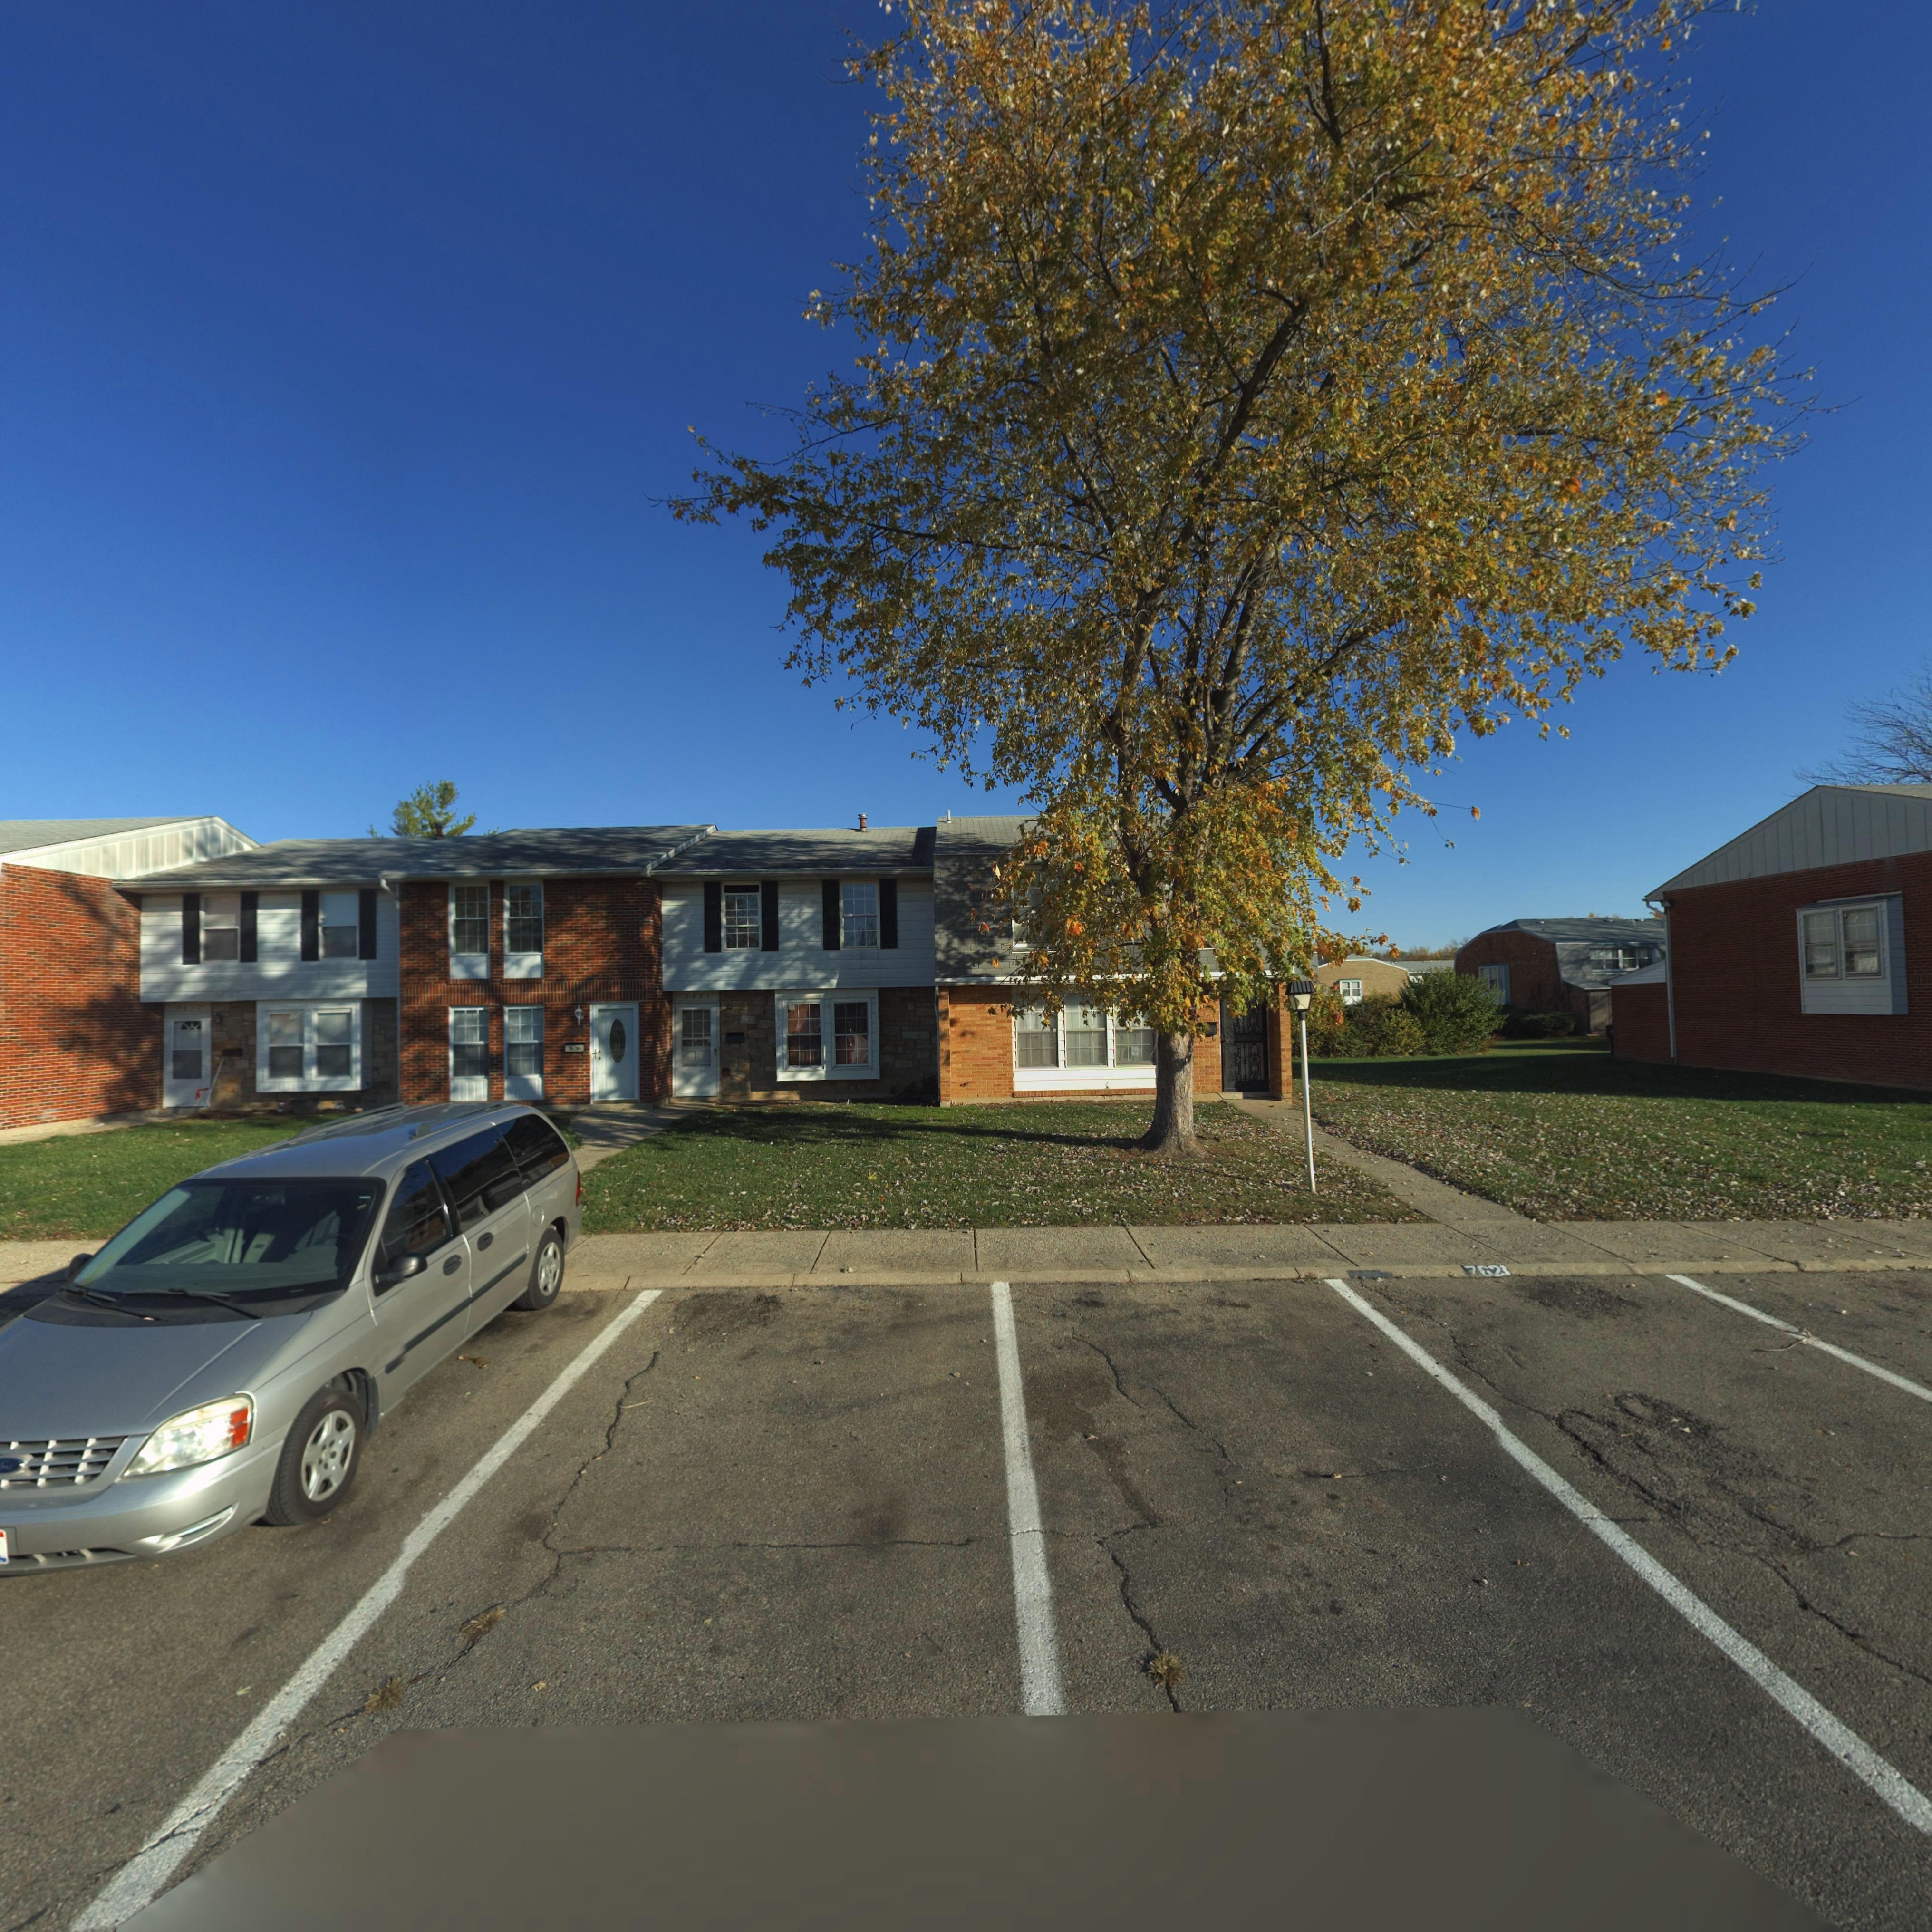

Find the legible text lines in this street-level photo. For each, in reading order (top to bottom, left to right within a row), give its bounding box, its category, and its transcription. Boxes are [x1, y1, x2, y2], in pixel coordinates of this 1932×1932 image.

[685, 993, 710, 999] StreetNumber: 7621
[175, 1004, 203, 1012] StreetNumber: 76**
[1461, 1264, 1512, 1278] StreetNumber: 7623